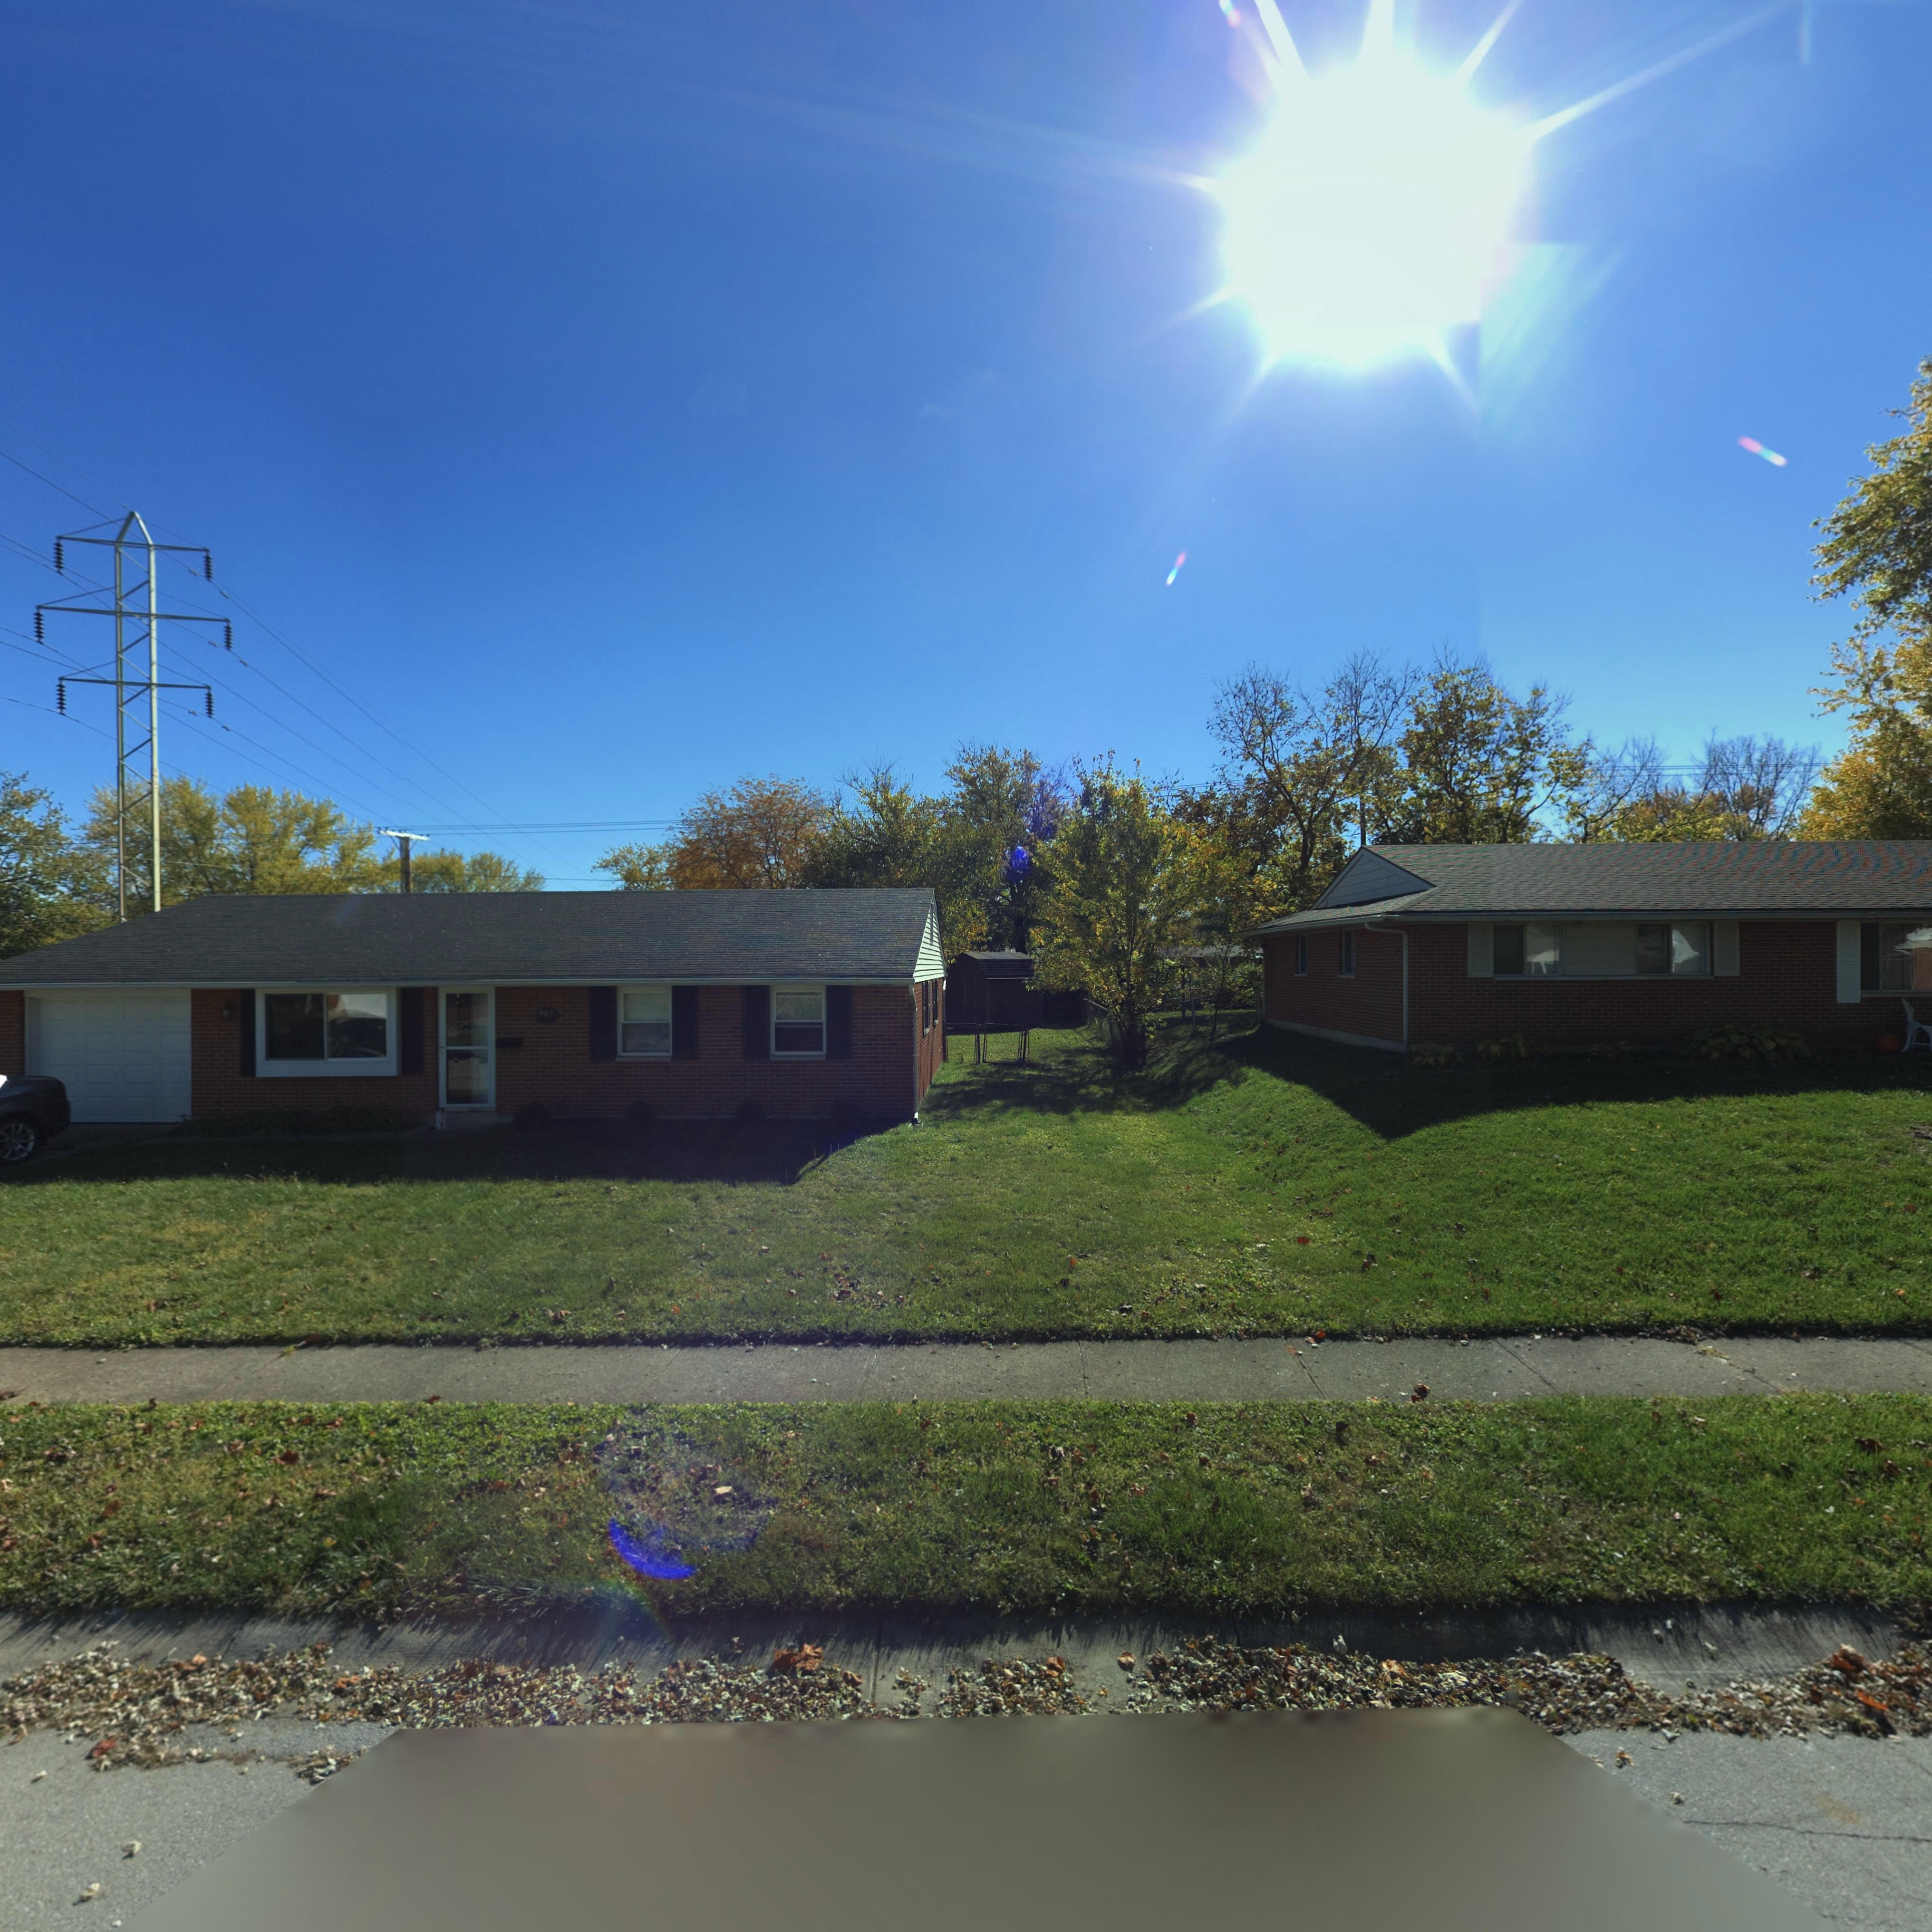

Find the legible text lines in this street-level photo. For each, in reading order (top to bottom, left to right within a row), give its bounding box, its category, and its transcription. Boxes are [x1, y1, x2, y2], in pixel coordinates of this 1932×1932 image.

[537, 1008, 554, 1019] StreetNumber: *07